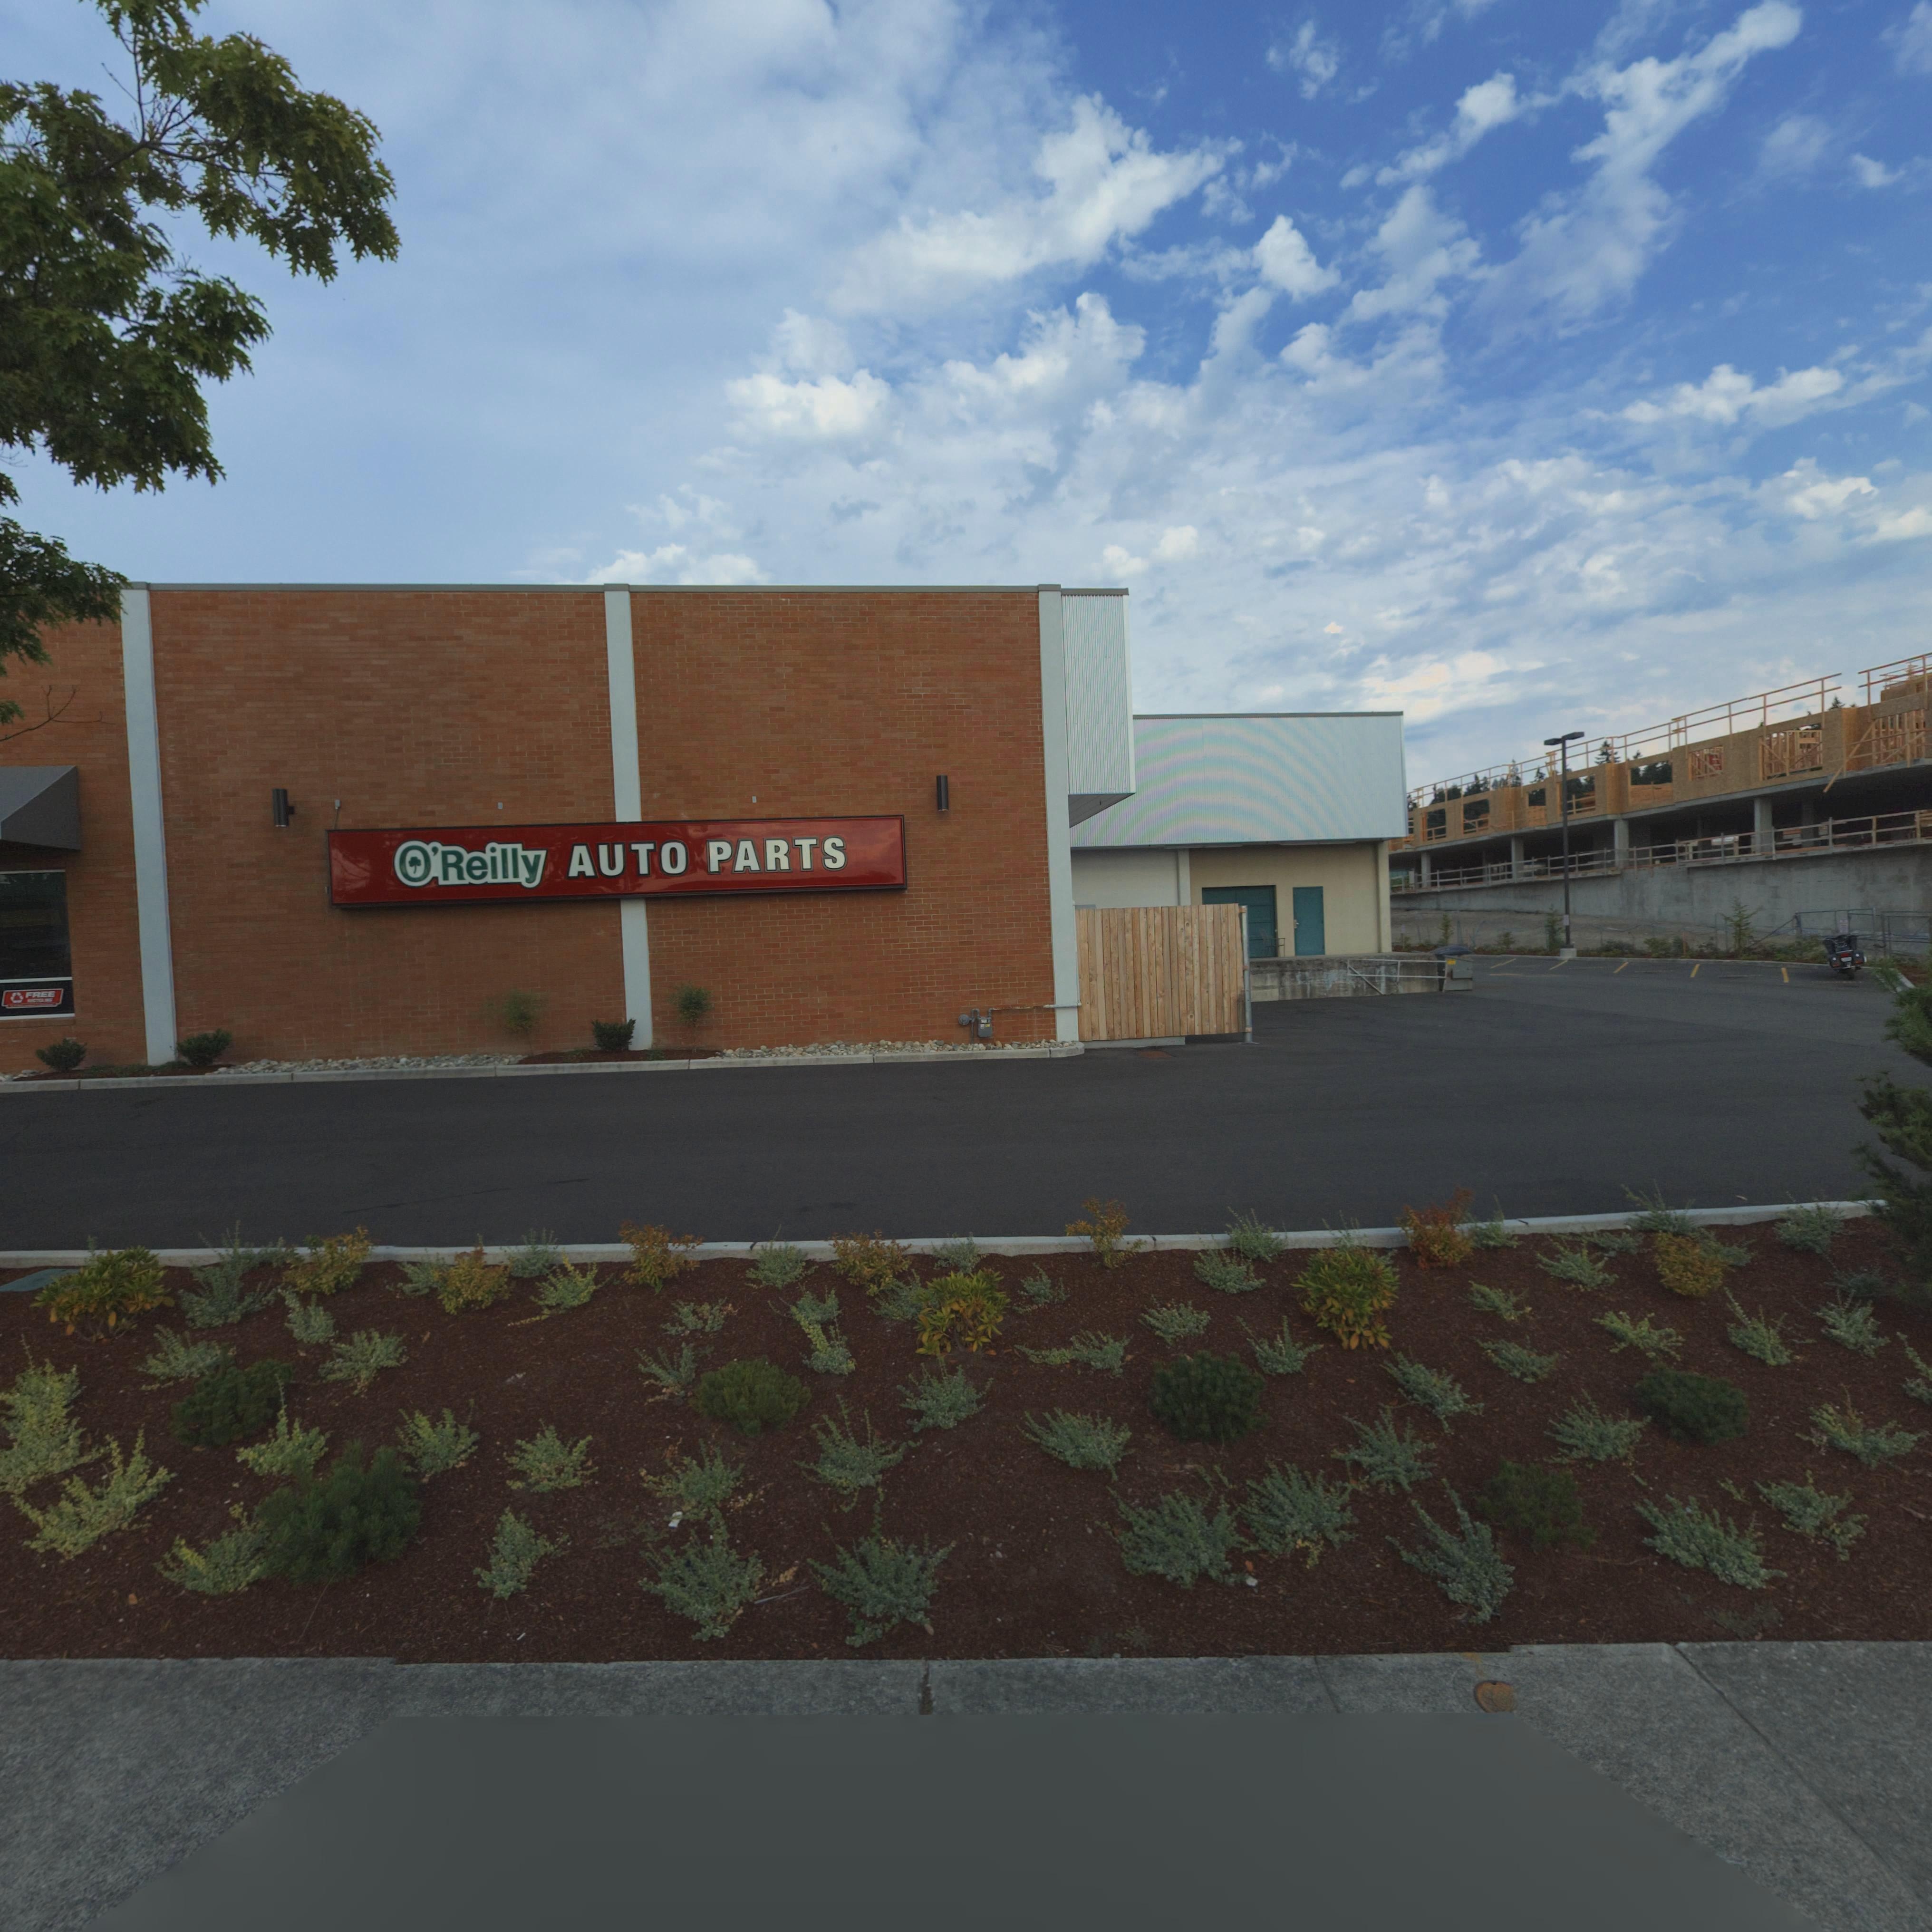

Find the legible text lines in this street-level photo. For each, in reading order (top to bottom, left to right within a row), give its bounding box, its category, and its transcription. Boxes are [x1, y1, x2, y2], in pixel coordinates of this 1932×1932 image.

[393, 839, 547, 889] BusinessName: O'Reilly
[569, 835, 848, 878] BusinessName: Auto Parts